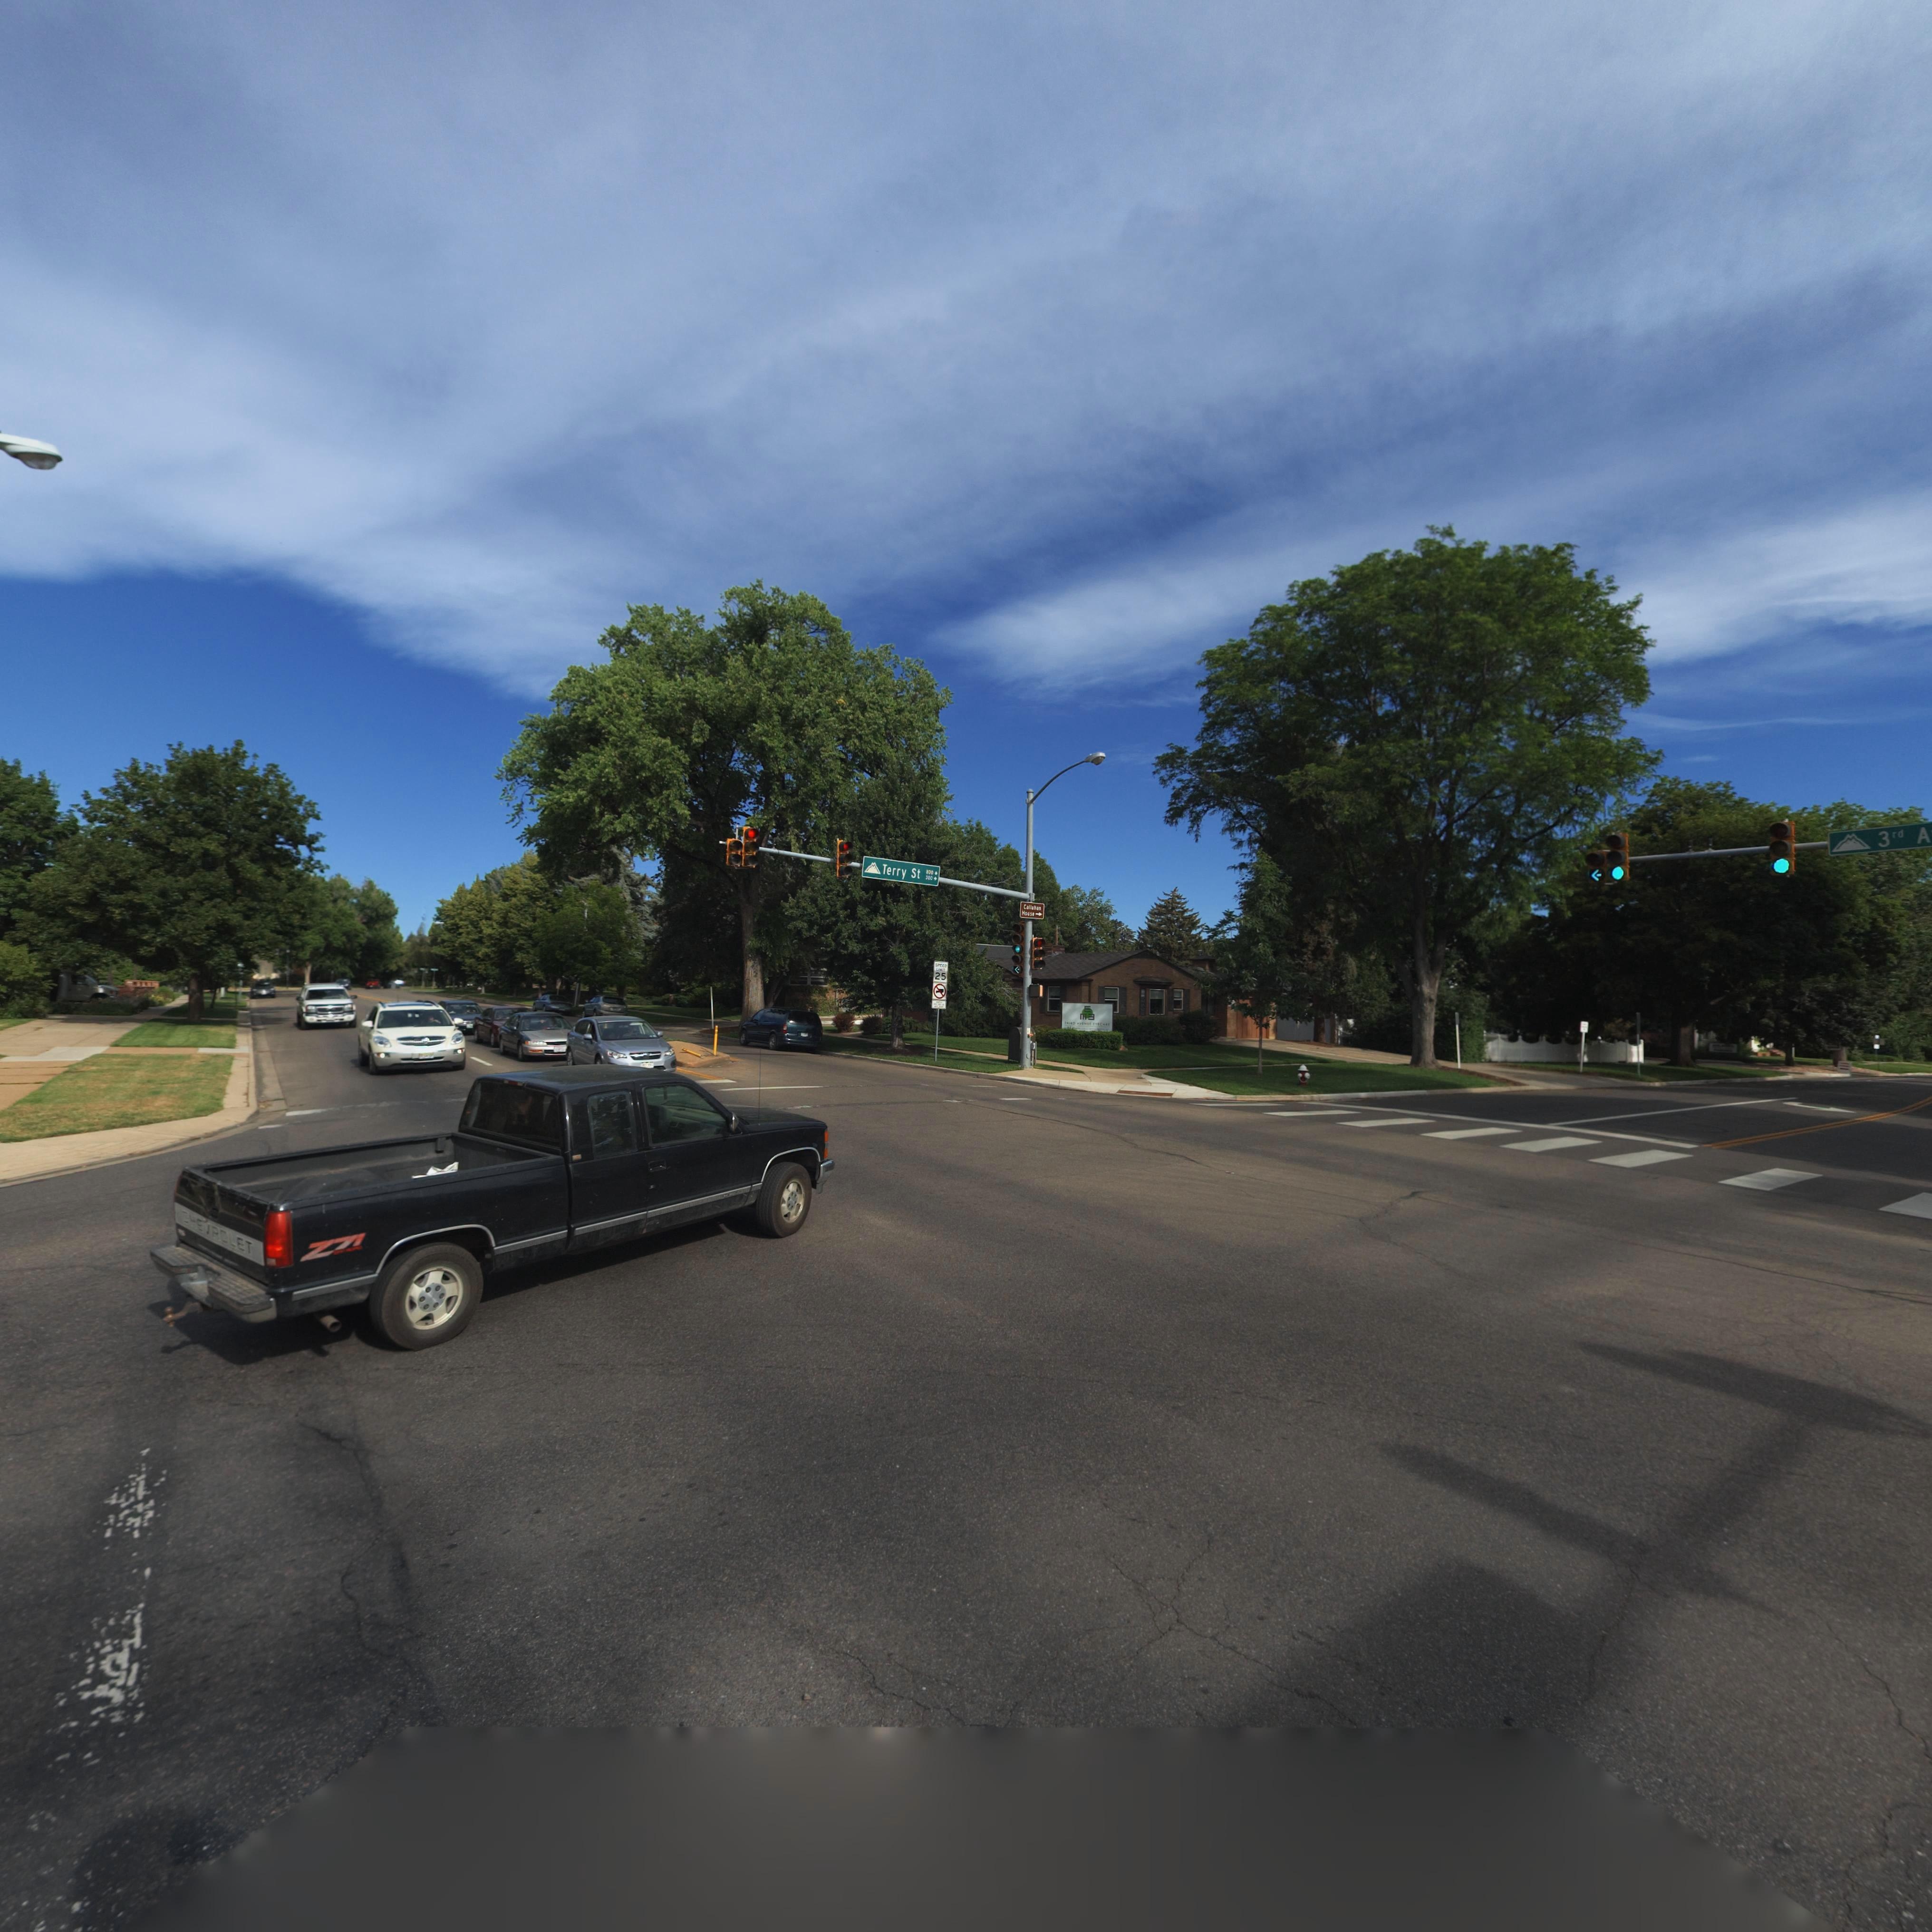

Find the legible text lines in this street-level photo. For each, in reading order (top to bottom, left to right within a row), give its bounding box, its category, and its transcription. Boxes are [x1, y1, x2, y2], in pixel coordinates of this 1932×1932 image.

[1877, 826, 1931, 848] StreetName: 3rd A
[882, 863, 921, 880] StreetName: Terry St
[925, 869, 934, 875] StreetNumberRange: 800
[925, 875, 938, 881] StreetNumberRange: 300->